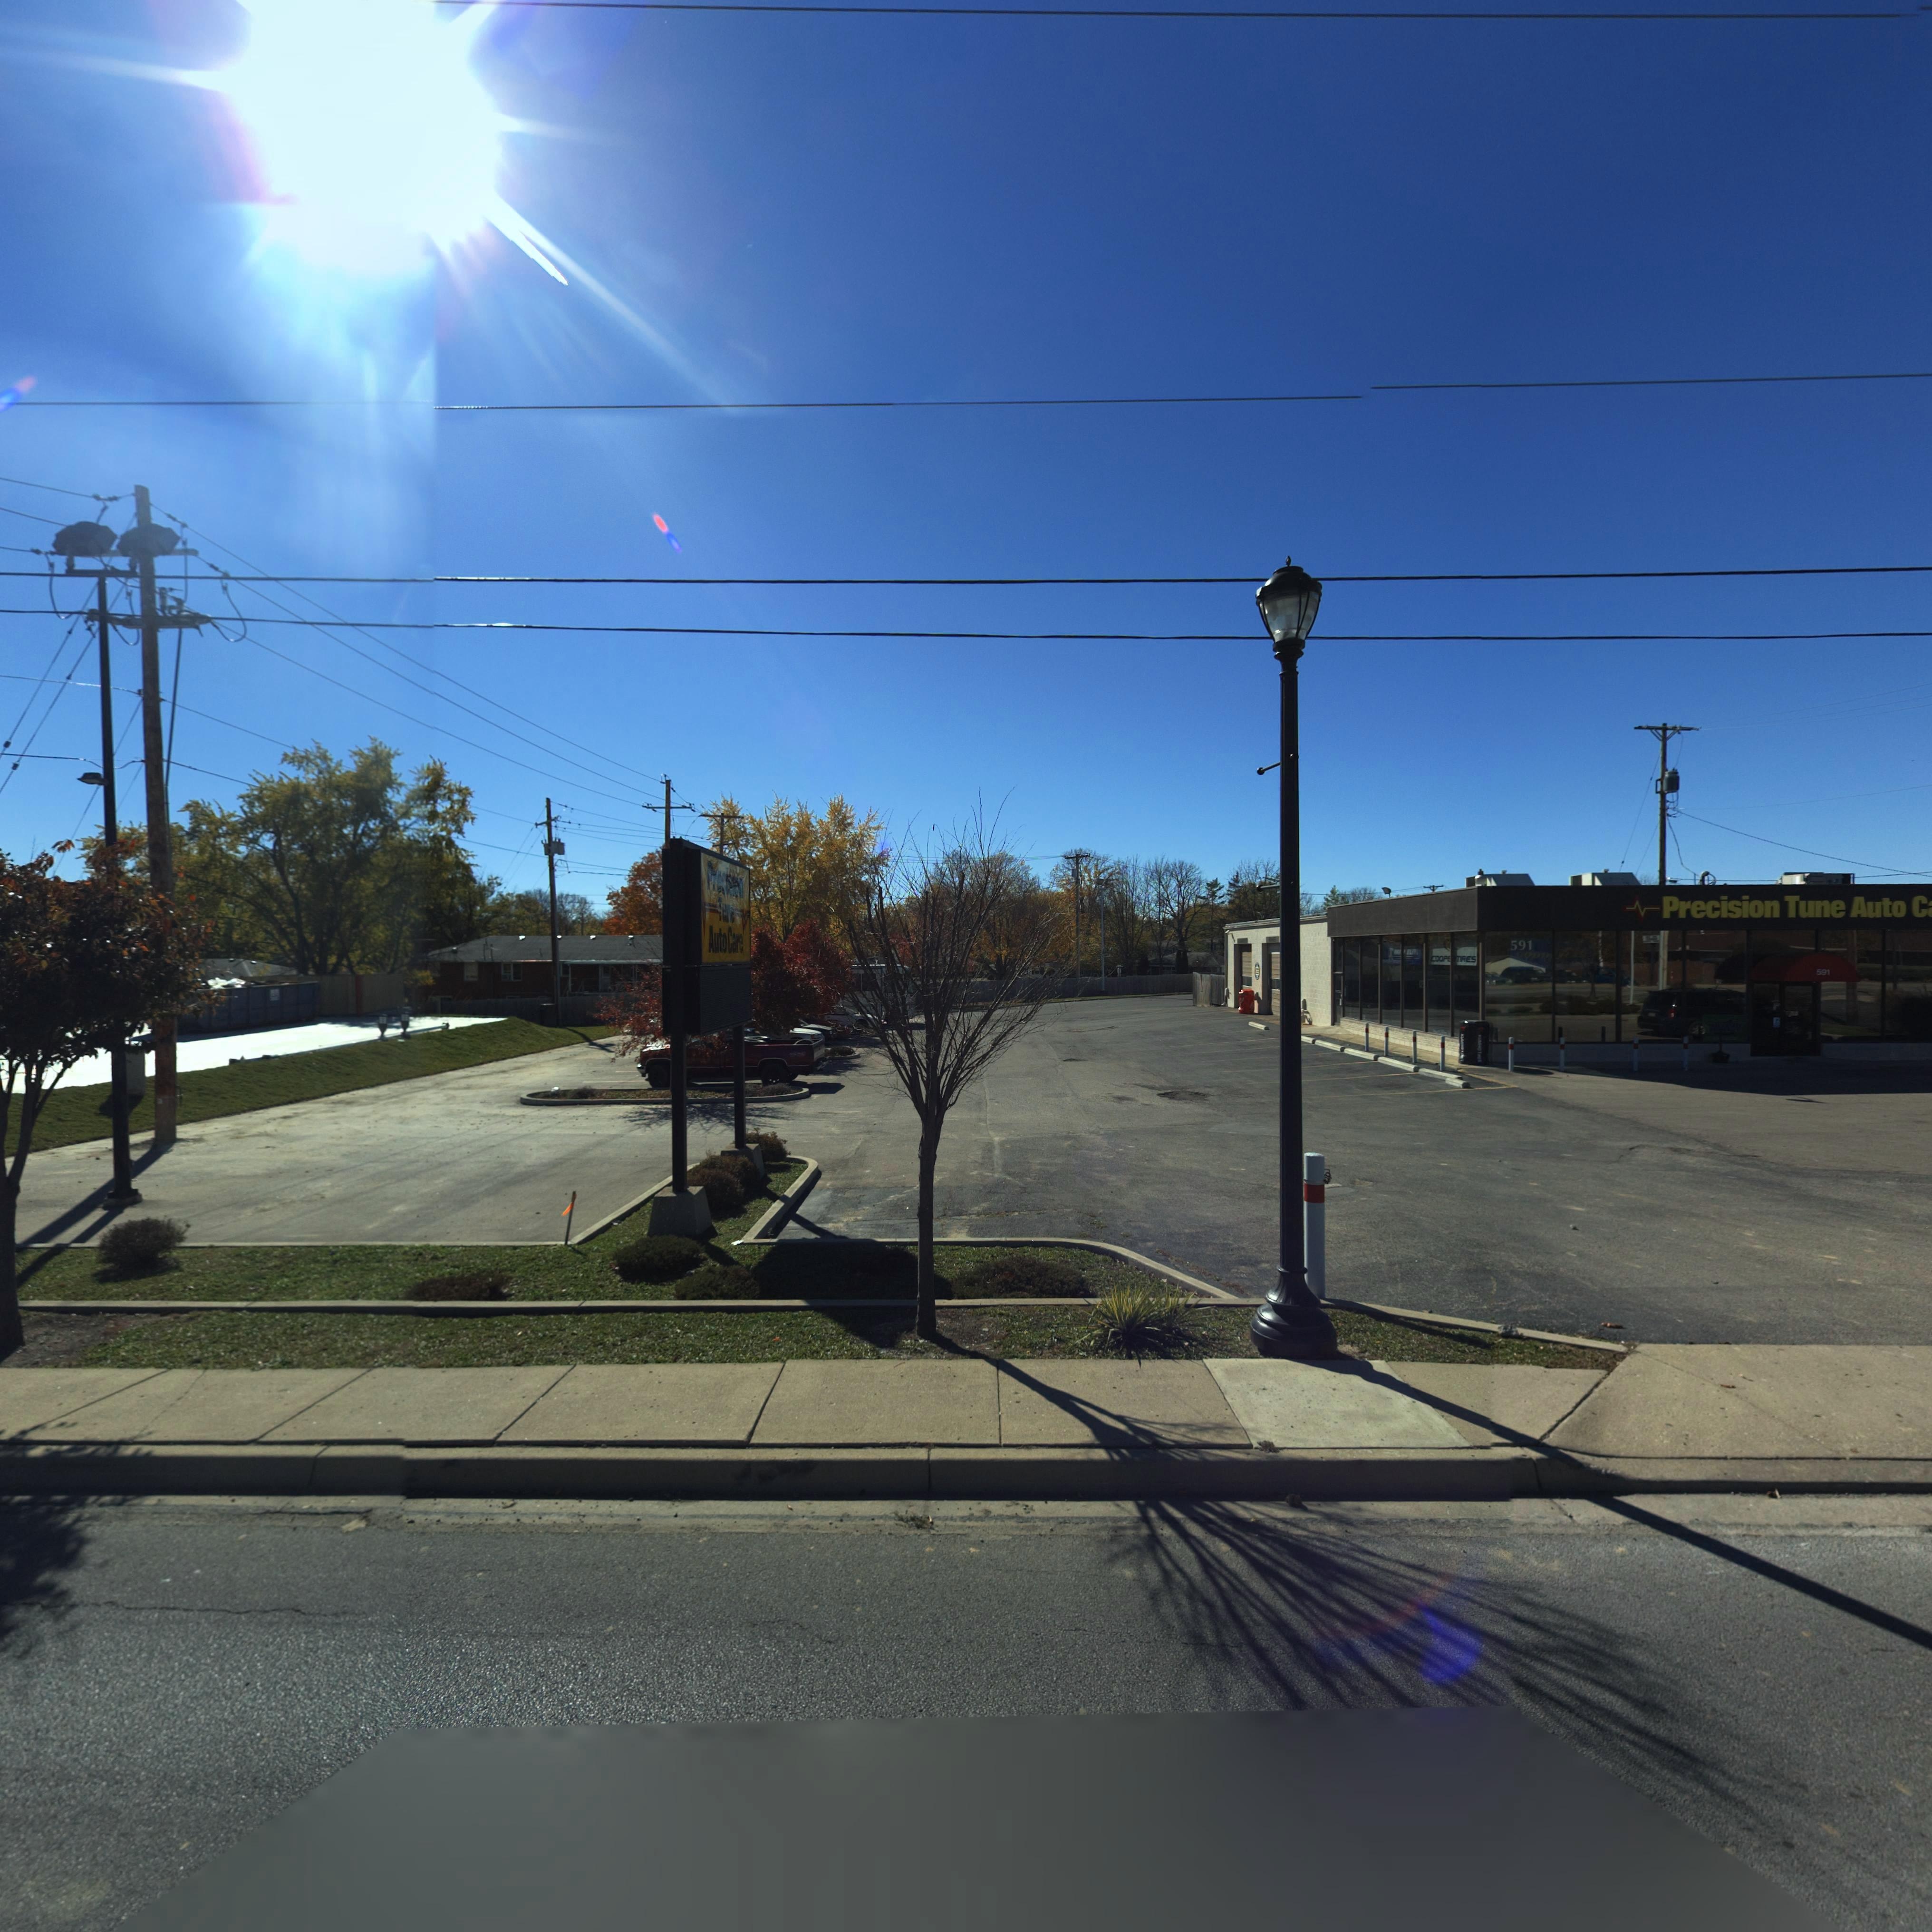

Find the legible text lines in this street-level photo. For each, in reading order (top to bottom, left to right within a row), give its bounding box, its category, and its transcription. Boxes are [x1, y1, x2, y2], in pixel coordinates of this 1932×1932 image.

[717, 896, 735, 925] BusinessName: Tune
[1661, 895, 1929, 919] BusinessName: Precision Tune Auto C
[707, 924, 744, 955] BusinessName: AutoCare
[1509, 939, 1533, 952] StreetNumber: 591
[1816, 968, 1831, 976] StreetNumber: 591